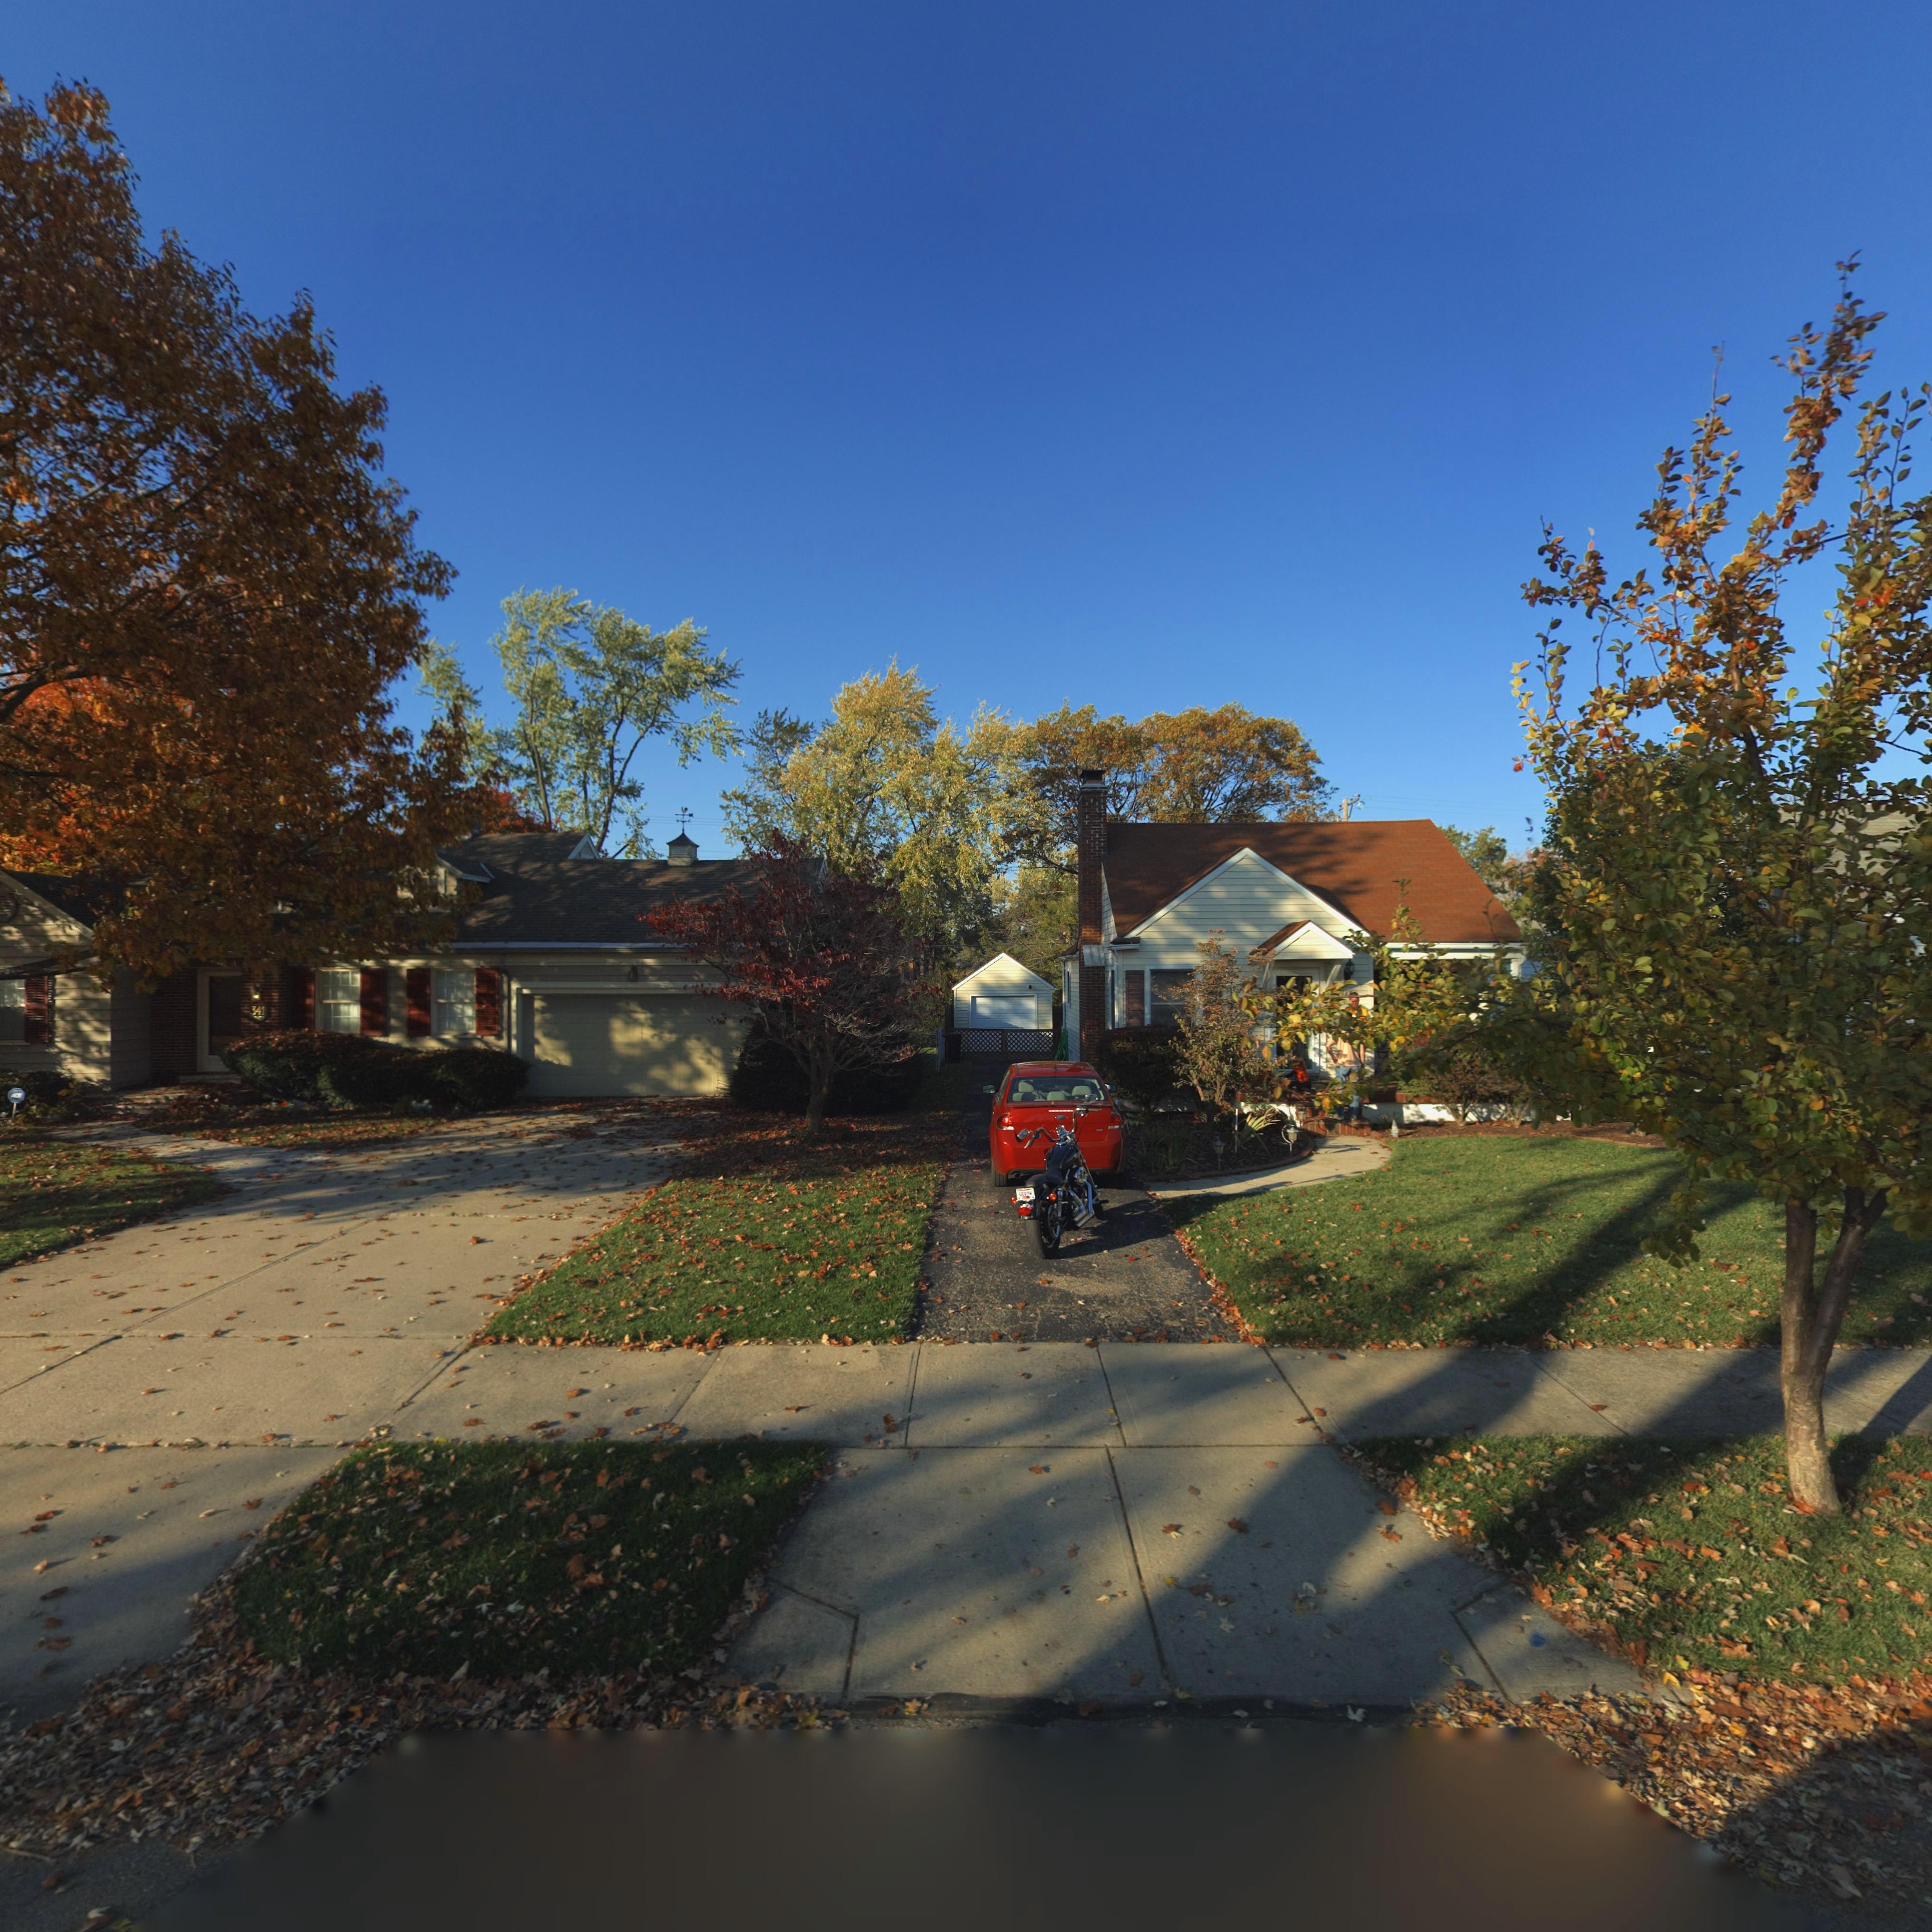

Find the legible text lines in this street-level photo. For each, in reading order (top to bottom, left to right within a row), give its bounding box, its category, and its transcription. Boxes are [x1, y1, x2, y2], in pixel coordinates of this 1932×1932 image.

[250, 1005, 266, 1016] StreetNumber: 341